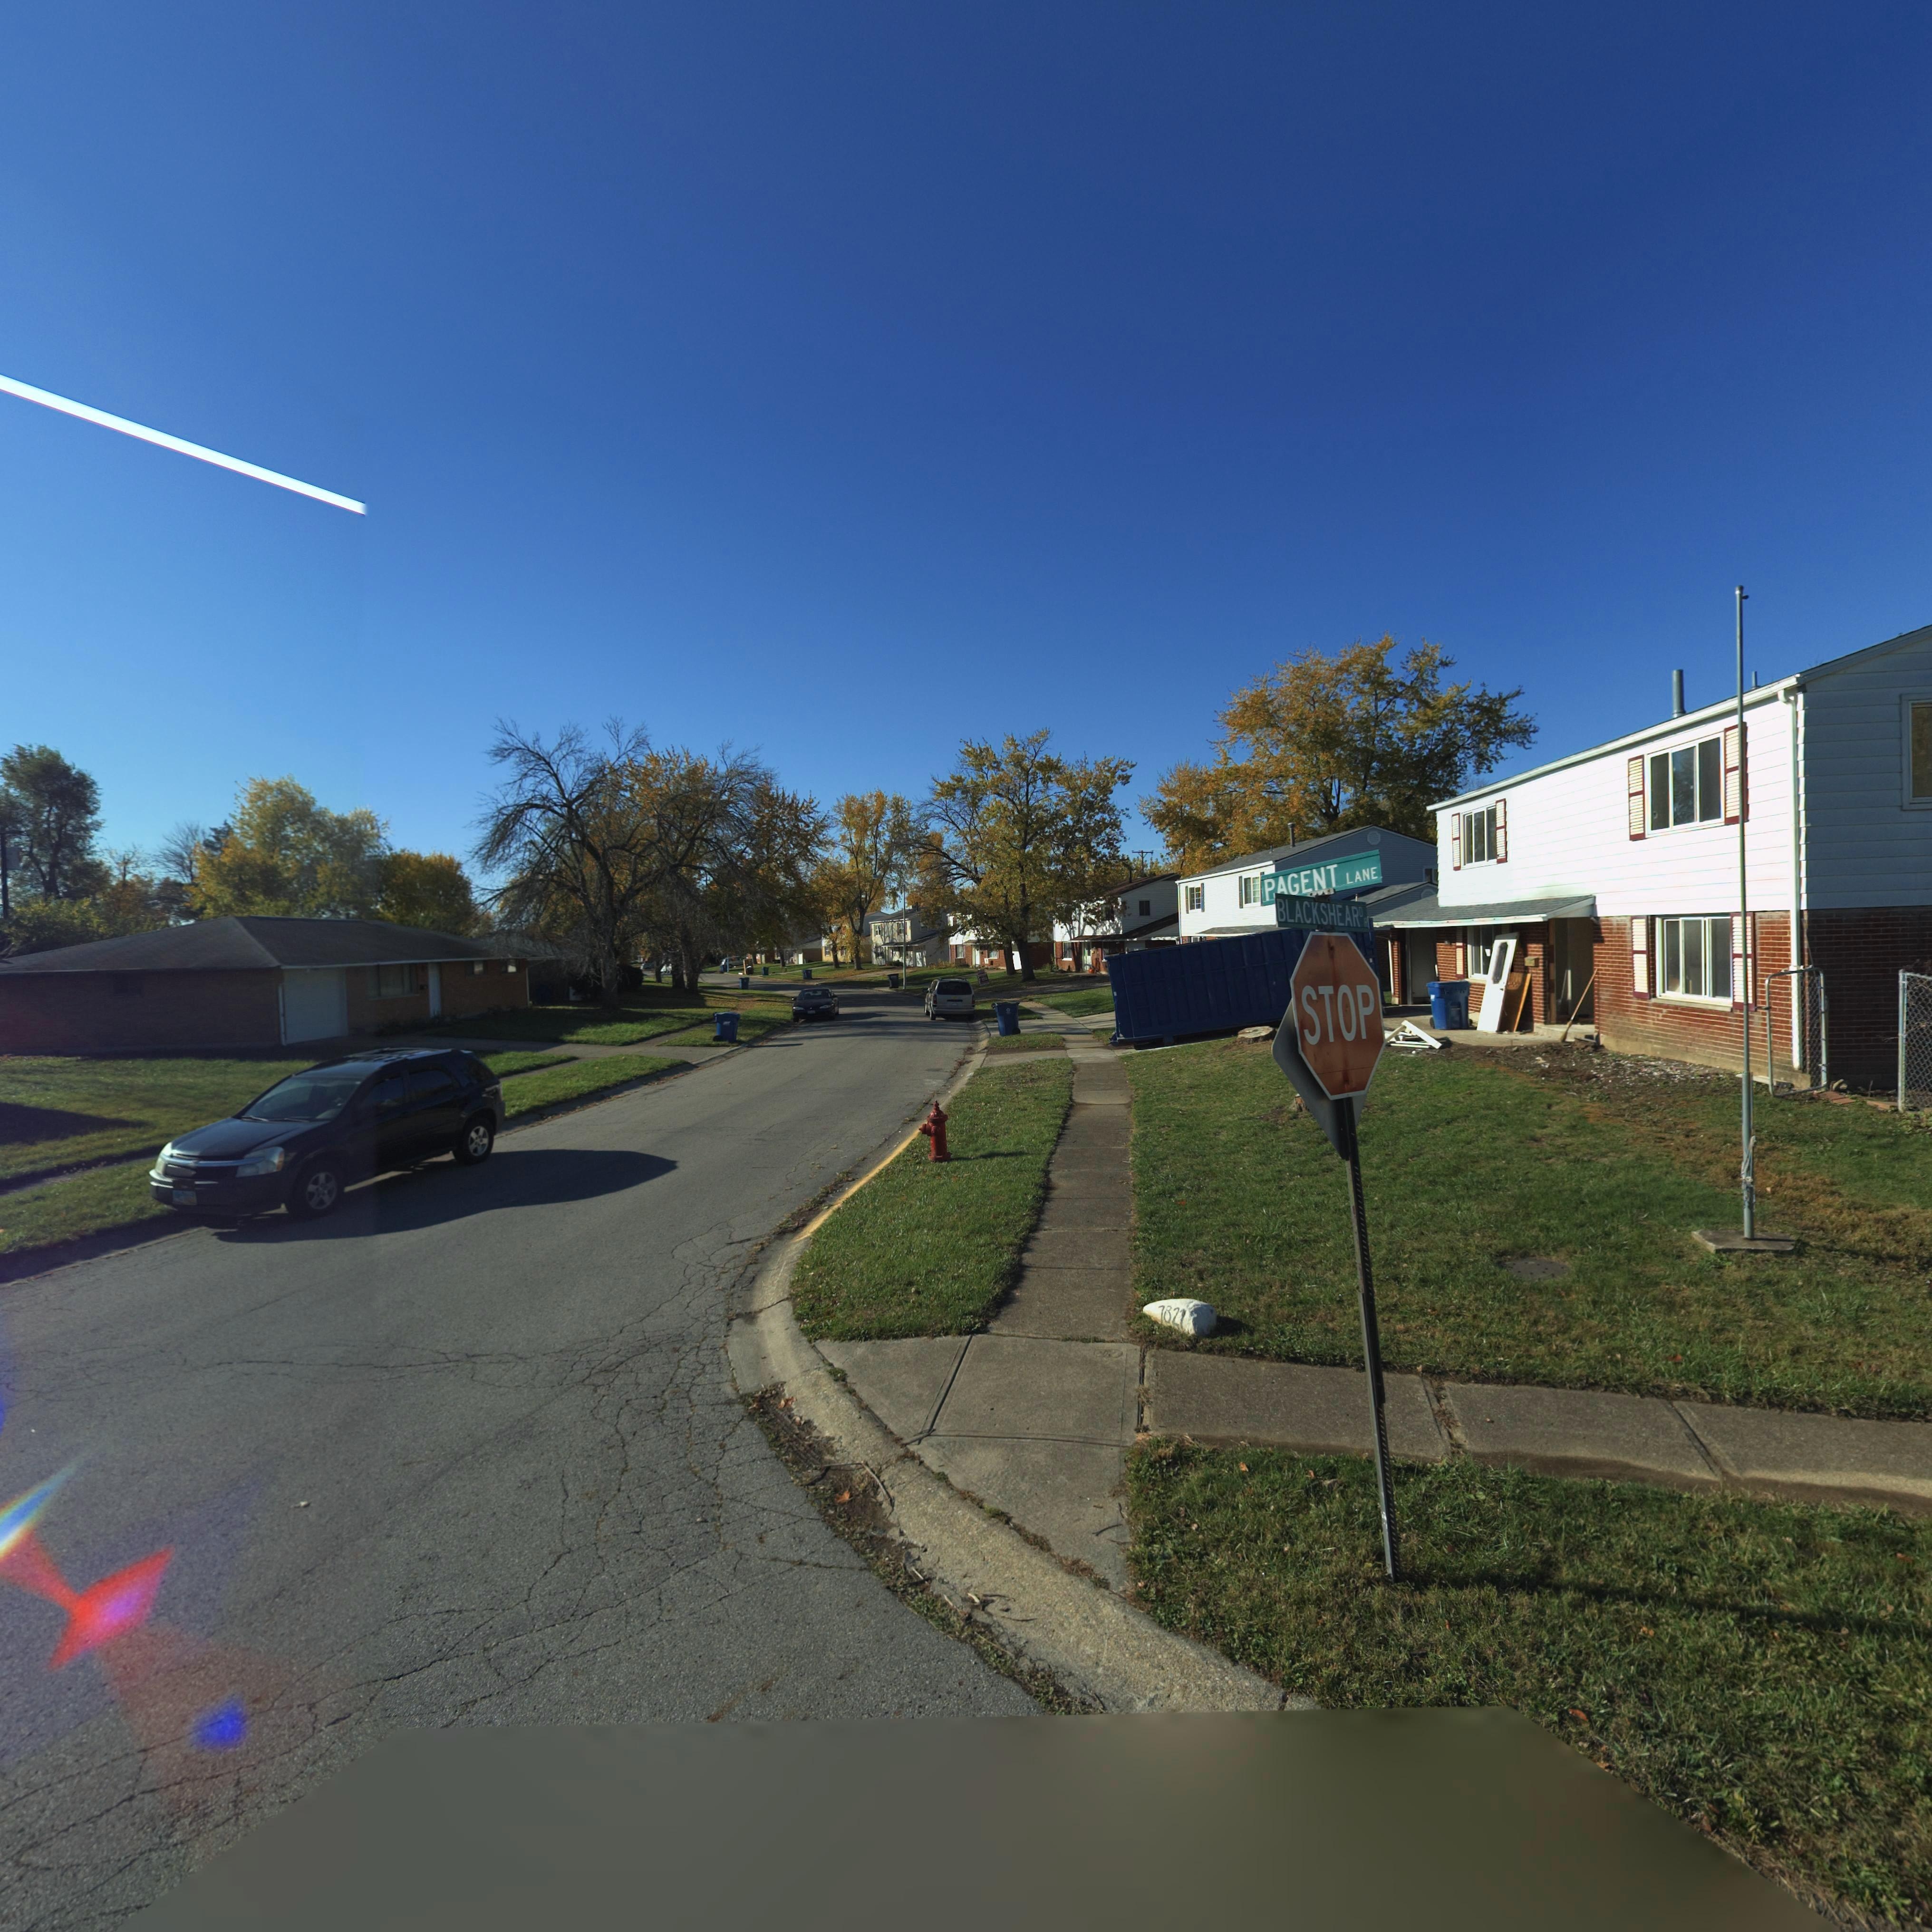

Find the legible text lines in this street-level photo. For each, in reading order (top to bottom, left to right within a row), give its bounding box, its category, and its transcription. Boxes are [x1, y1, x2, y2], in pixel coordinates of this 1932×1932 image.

[1157, 1304, 1188, 1332] StreetNumber: 782*